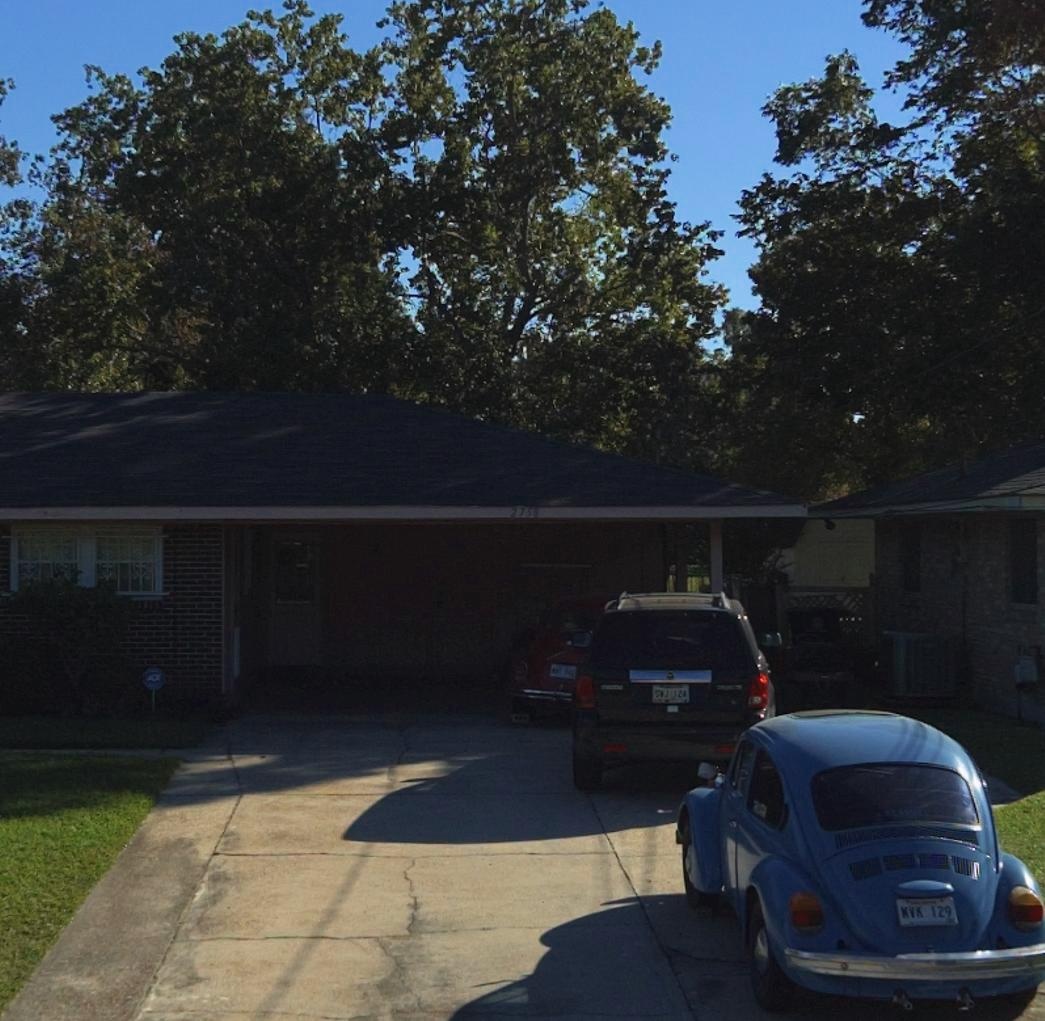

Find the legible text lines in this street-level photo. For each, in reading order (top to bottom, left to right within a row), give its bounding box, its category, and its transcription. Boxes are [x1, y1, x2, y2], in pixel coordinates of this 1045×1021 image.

[509, 506, 541, 518] StreetNumber: 2758
[897, 904, 954, 921] None: MVK 129